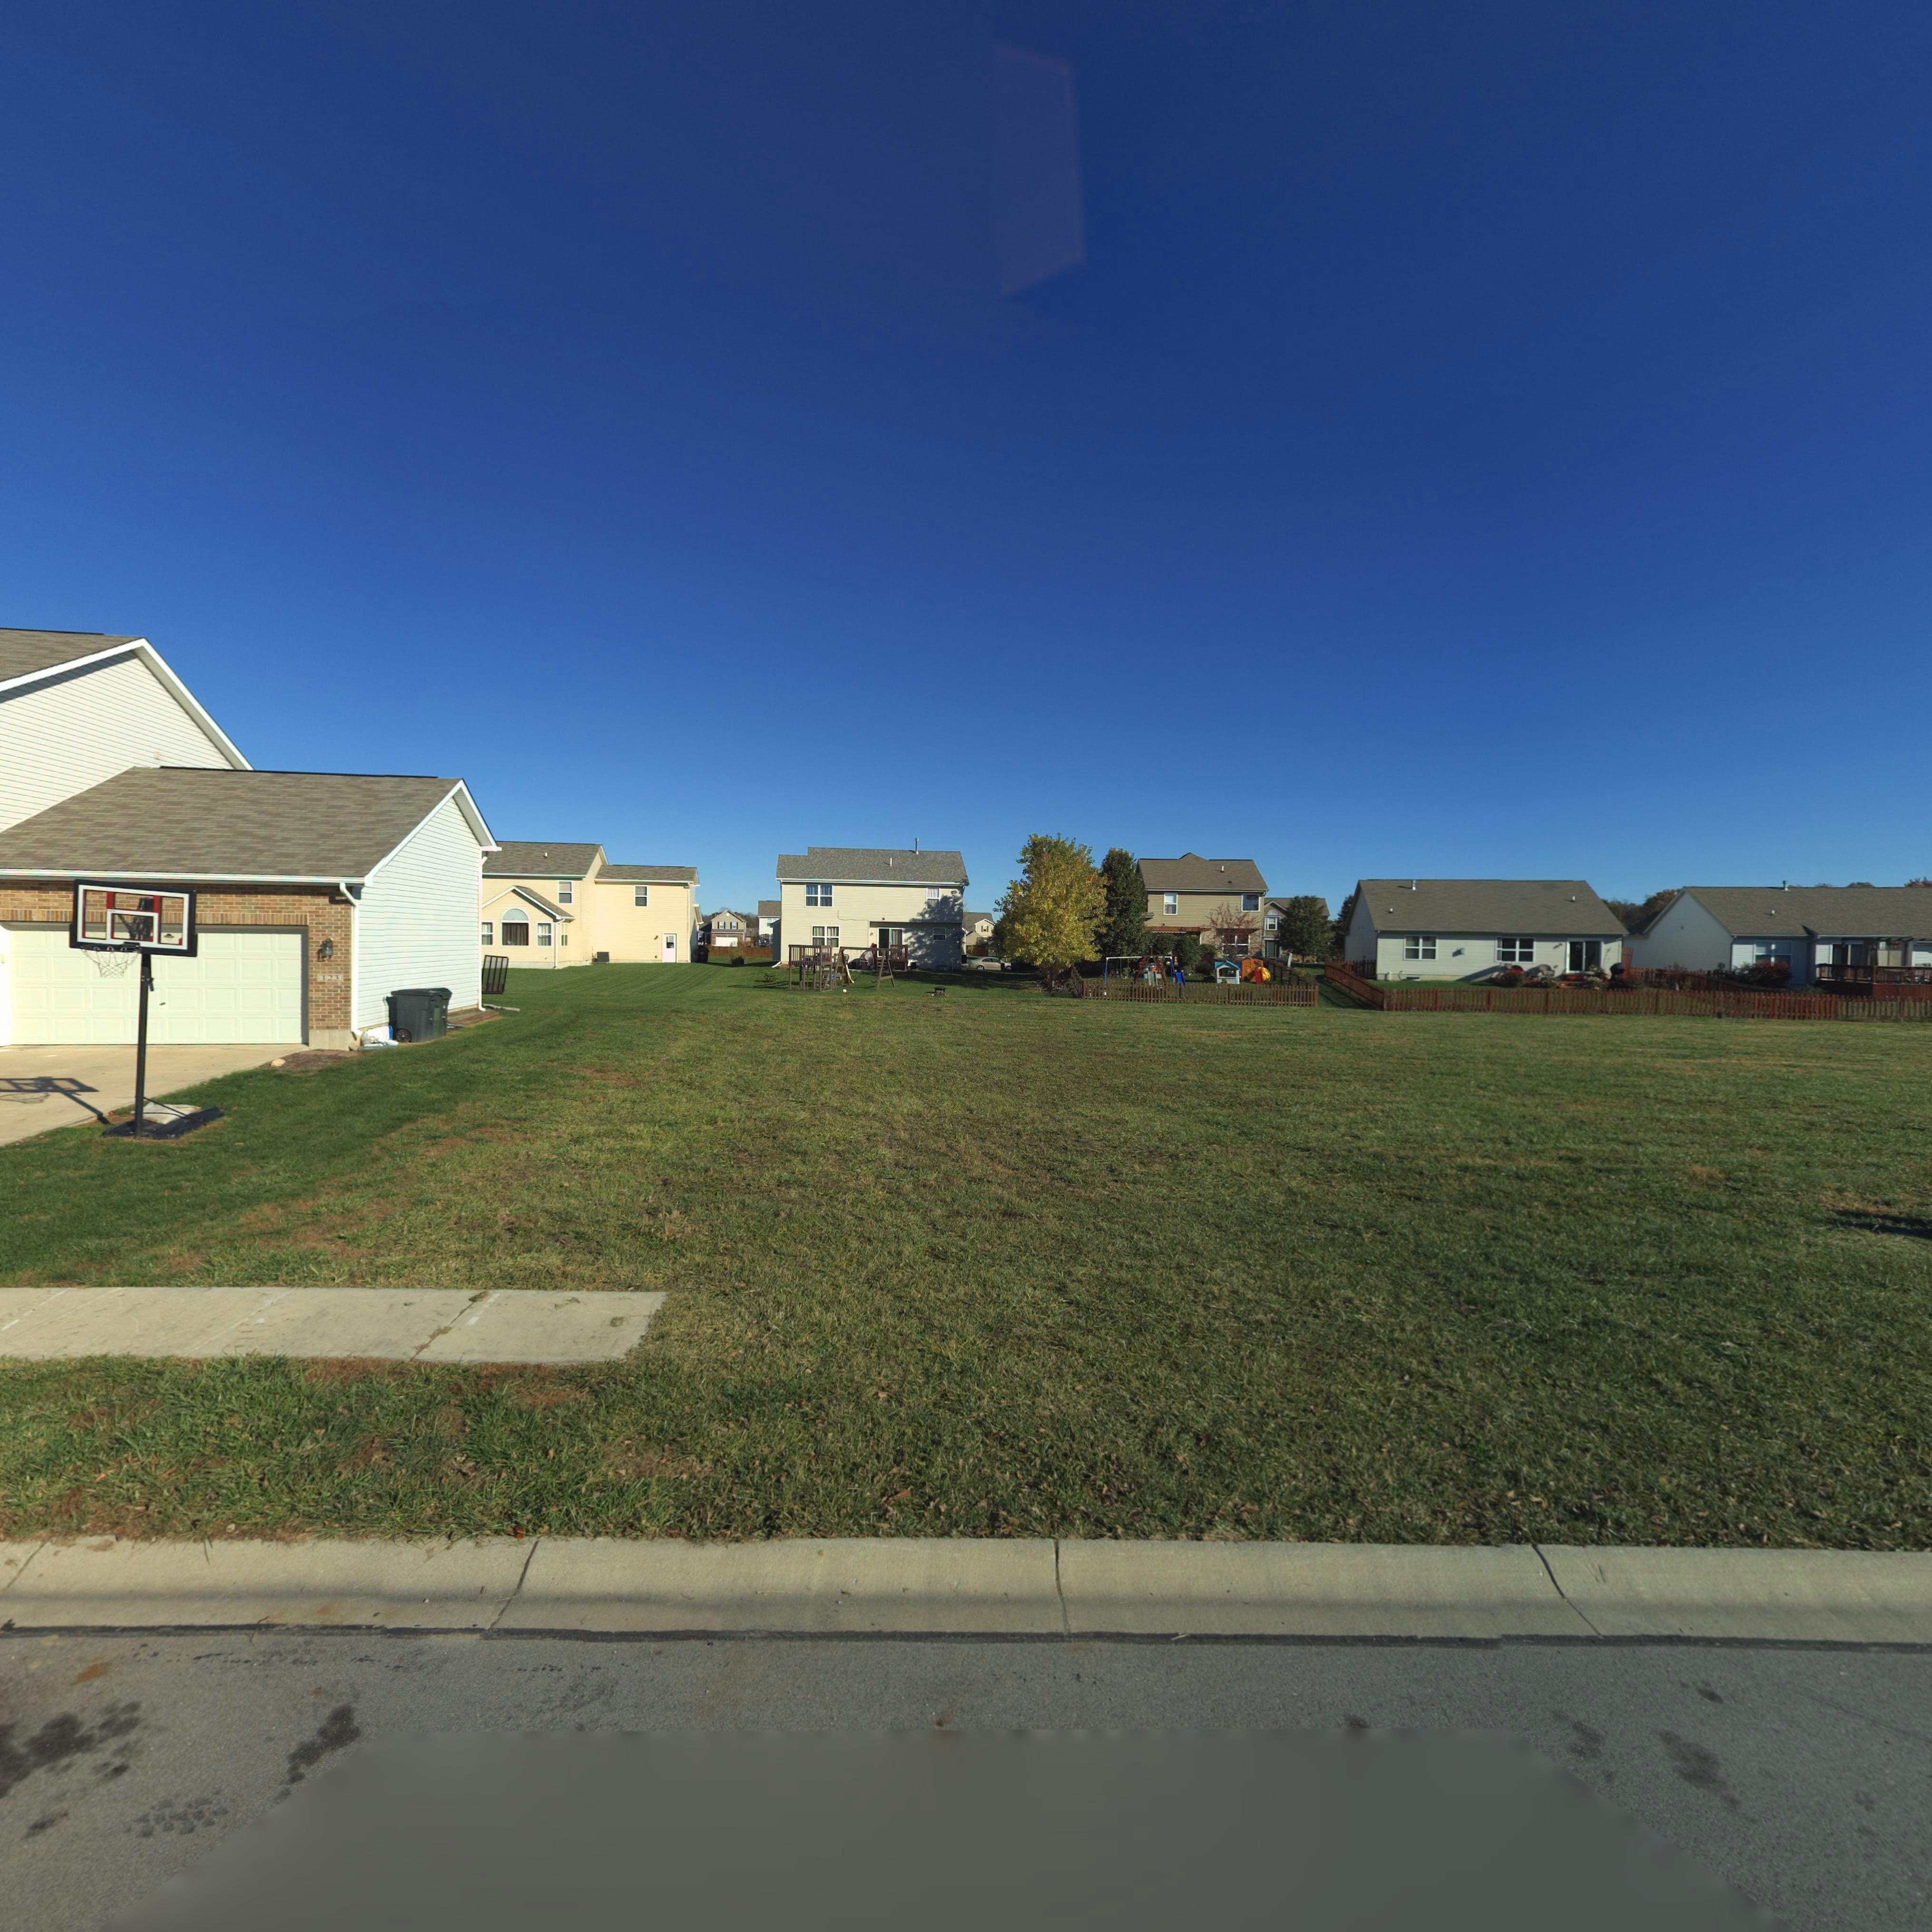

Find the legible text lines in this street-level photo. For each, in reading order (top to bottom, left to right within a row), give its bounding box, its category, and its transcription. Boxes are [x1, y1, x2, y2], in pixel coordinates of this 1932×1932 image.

[320, 974, 339, 981] StreetNumber: 123